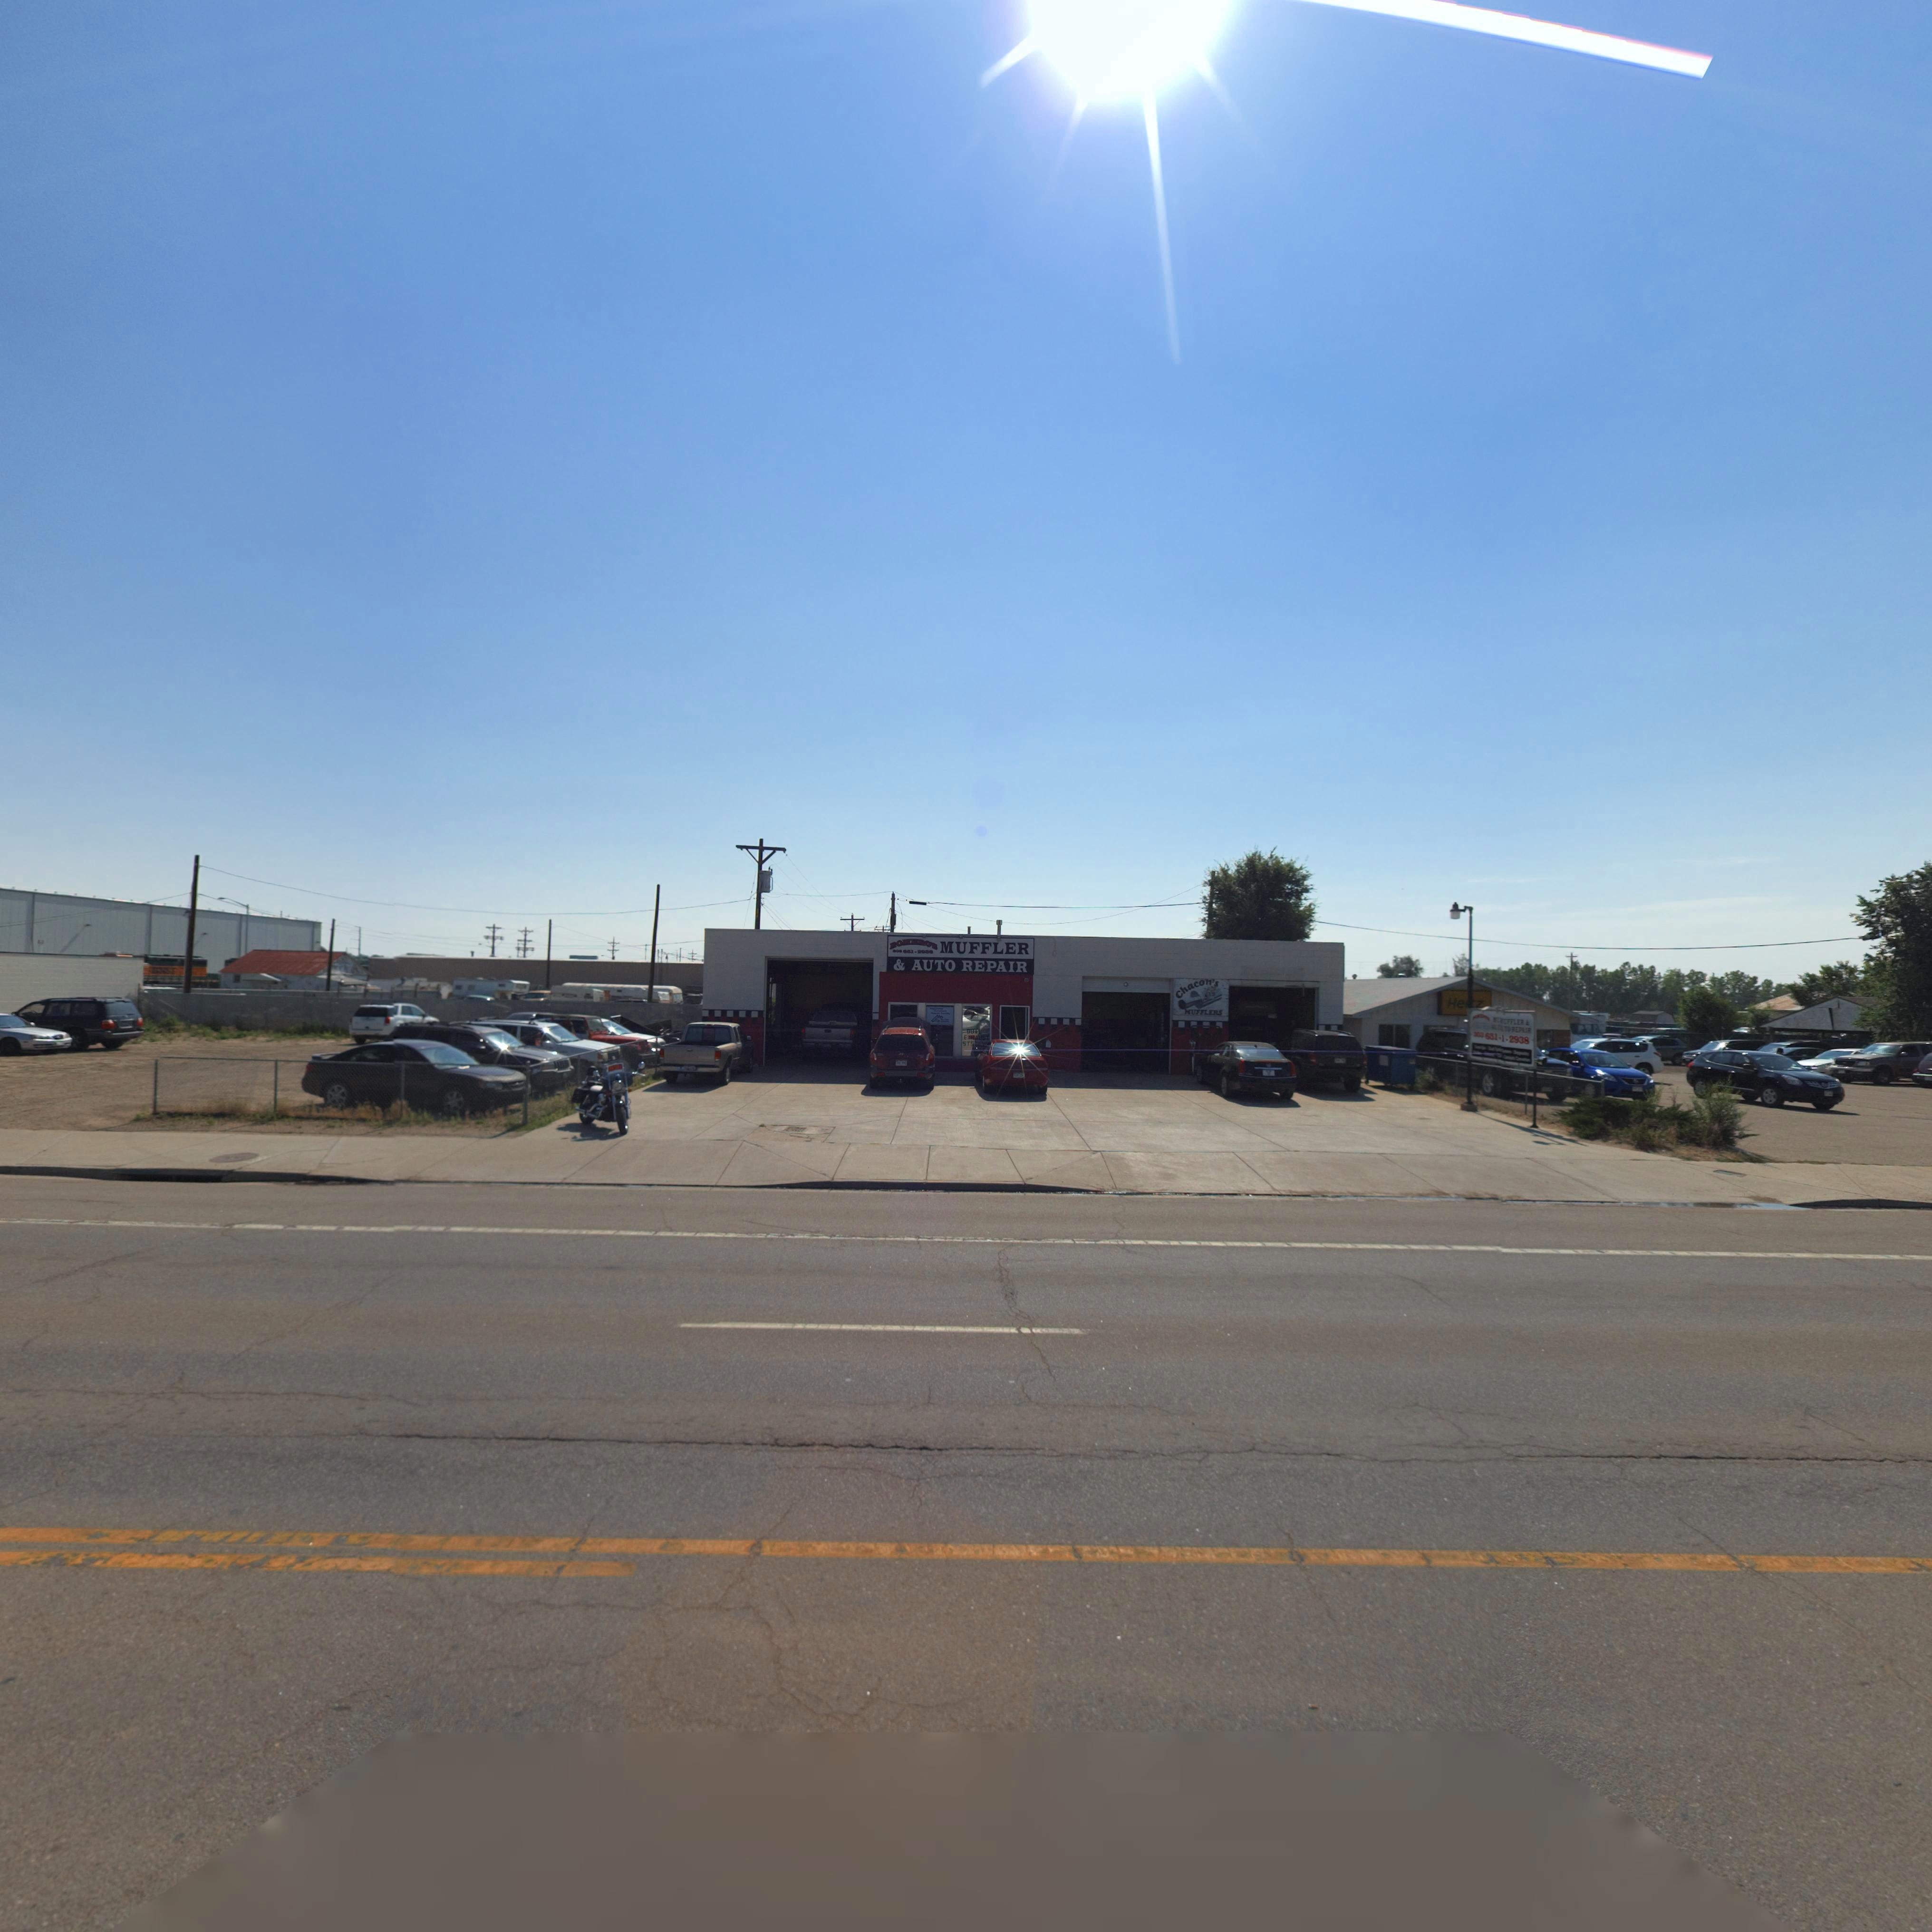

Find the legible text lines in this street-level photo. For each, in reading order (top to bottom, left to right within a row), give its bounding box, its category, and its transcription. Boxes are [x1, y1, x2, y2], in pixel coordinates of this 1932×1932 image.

[889, 938, 937, 950] BusinessName: *O***O*
[939, 941, 1029, 955] BusinessName: MUFFLER
[893, 958, 1027, 973] BusinessName: & AUTO REPAIR
[1175, 979, 1219, 999] BusinessName: Chacon's
[1447, 997, 1484, 1008] BusinessName: He**z
[1184, 1009, 1223, 1015] BusinessName: MUFFLERS
[1492, 1015, 1530, 1026] BusinessName: ****FFLE* *
[1491, 1024, 1531, 1034] BusinessName: ****TO RE**I*